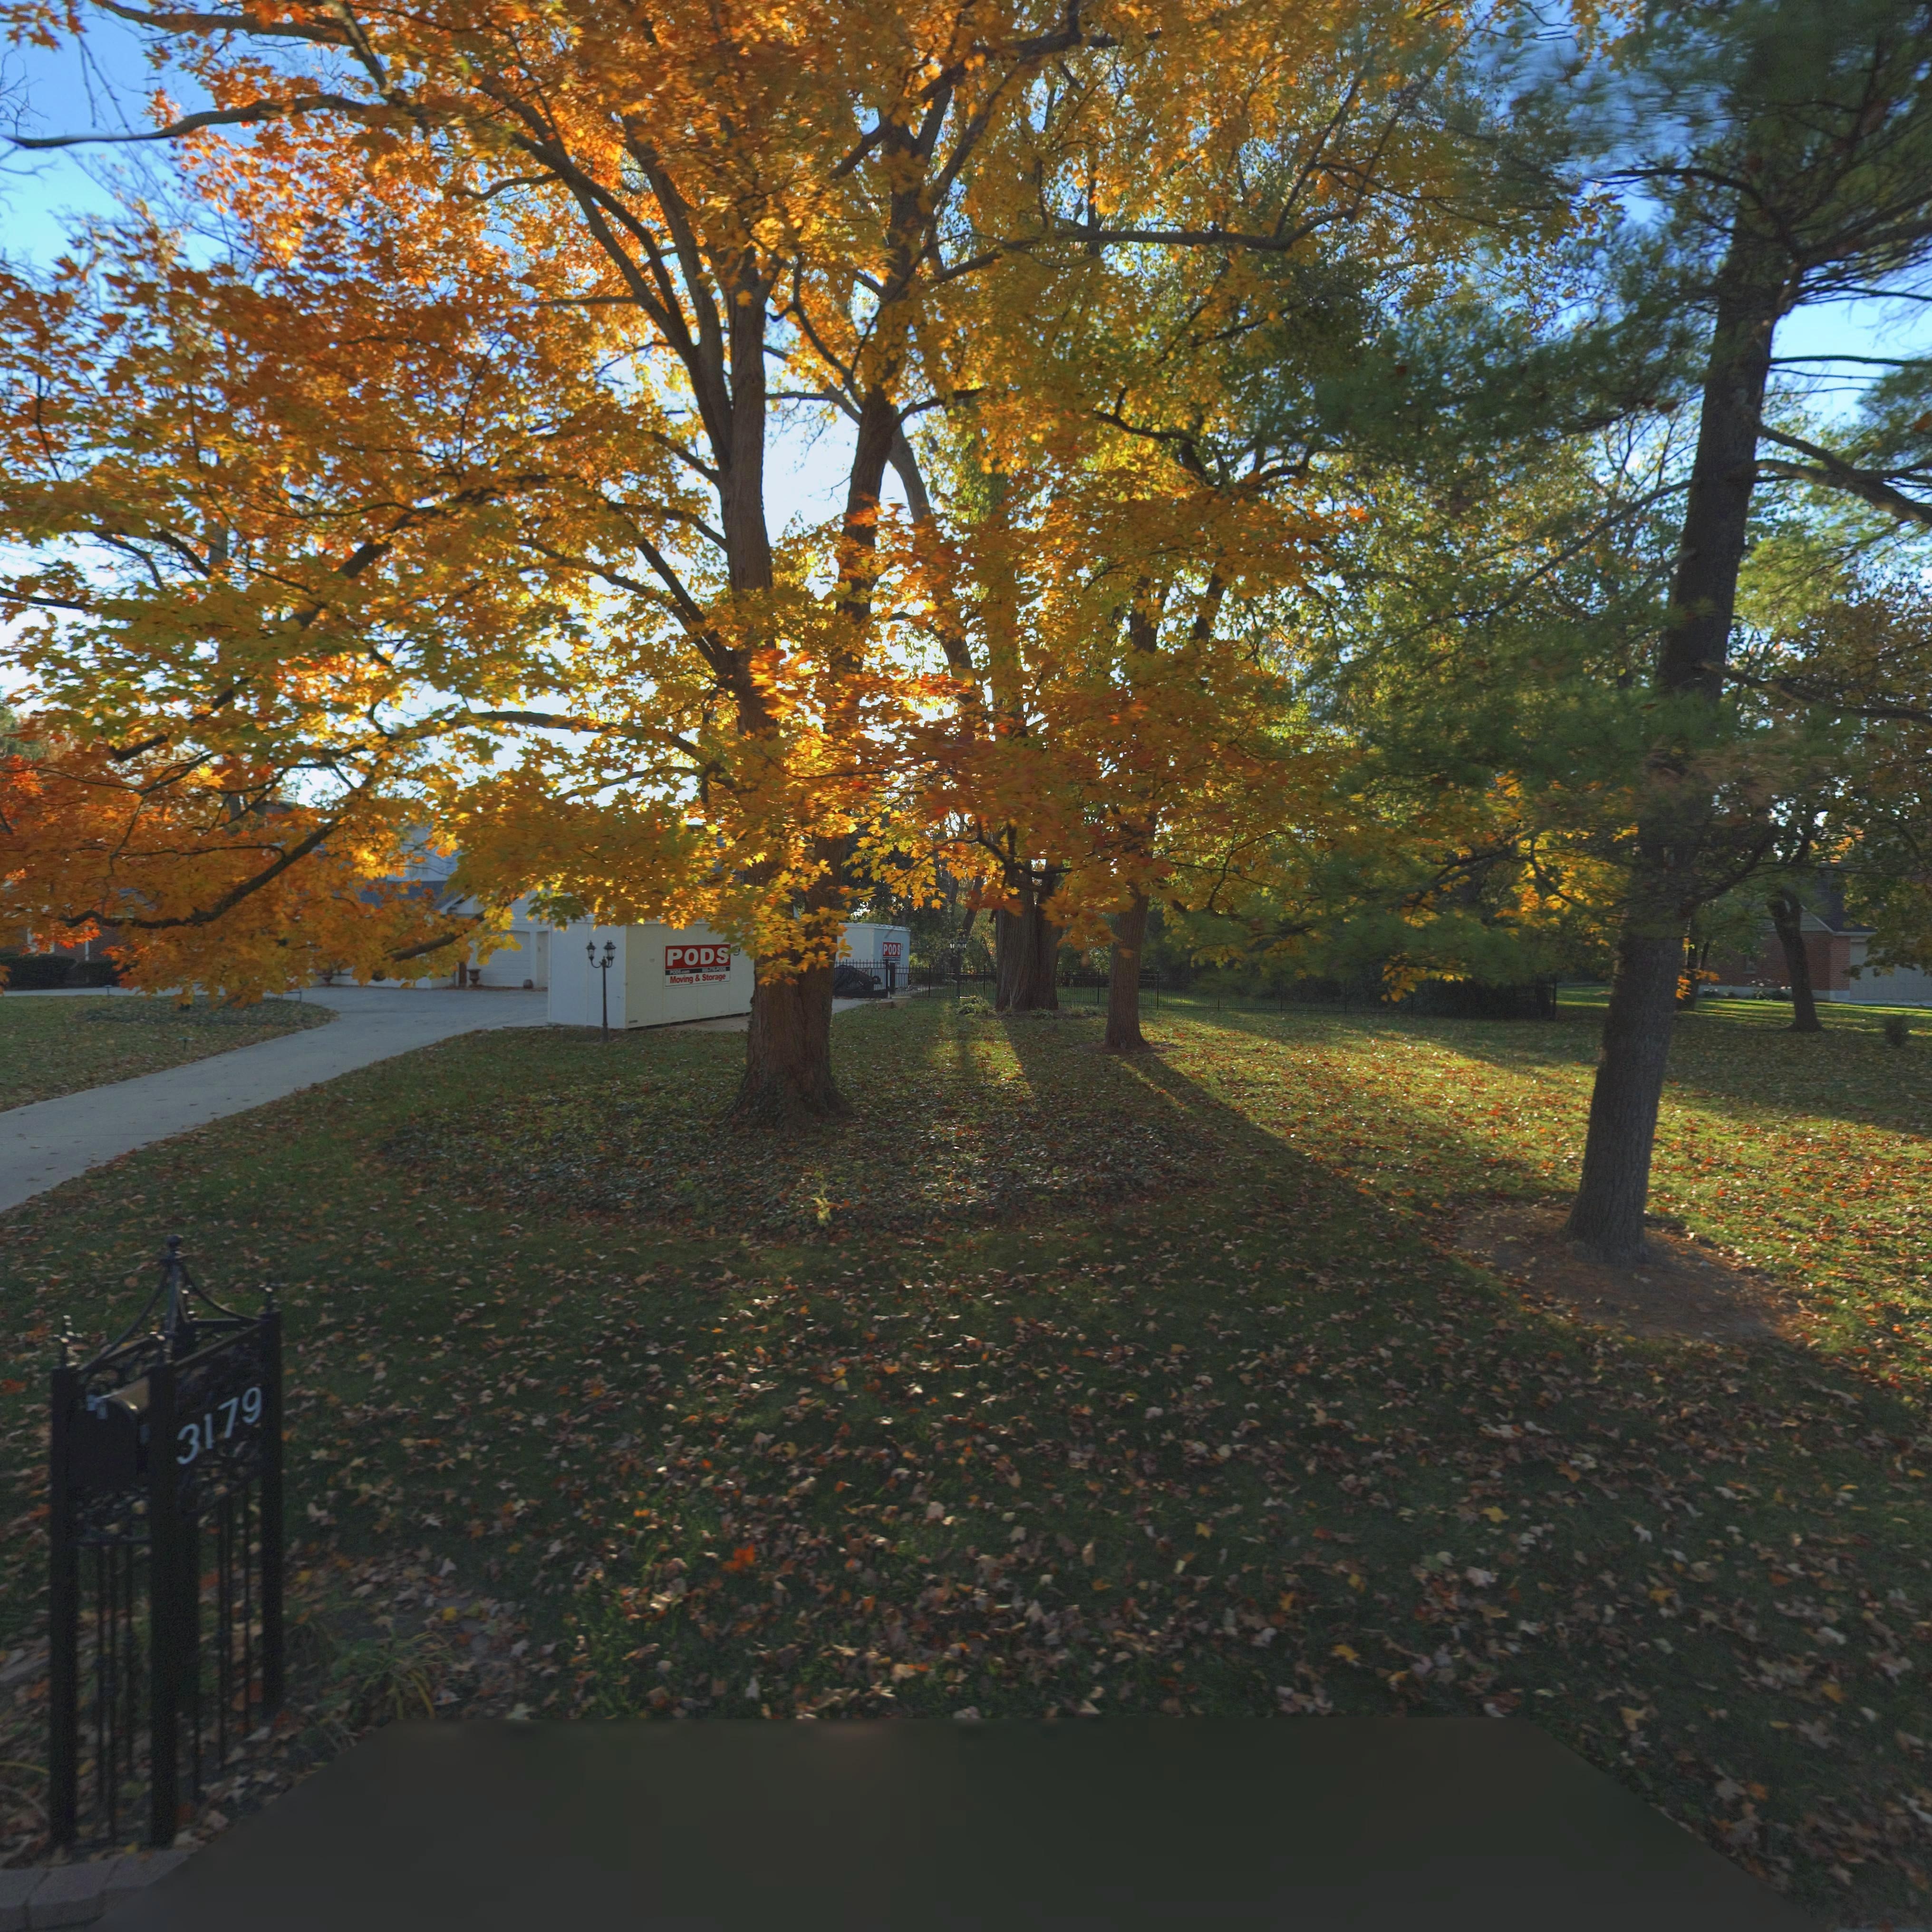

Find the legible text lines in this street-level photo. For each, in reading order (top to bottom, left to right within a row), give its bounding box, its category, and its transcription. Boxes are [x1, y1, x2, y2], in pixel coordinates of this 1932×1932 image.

[171, 1379, 262, 1474] StreetNumber: 3179